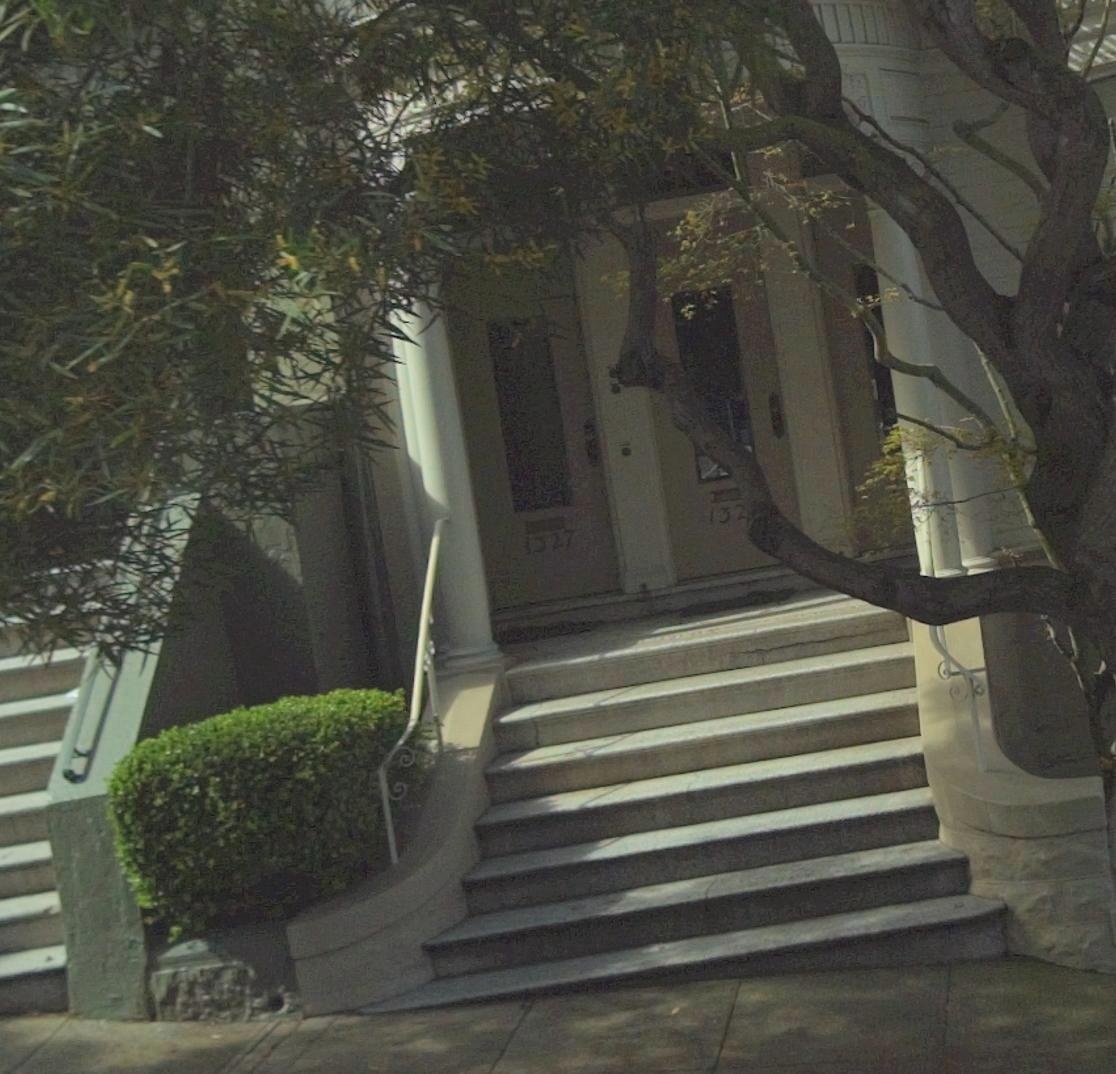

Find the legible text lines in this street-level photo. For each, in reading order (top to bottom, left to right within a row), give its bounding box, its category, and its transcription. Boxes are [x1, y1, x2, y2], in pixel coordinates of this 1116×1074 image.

[706, 498, 753, 529] StreetNumber: 132
[521, 525, 578, 559] StreetNumber: 1327